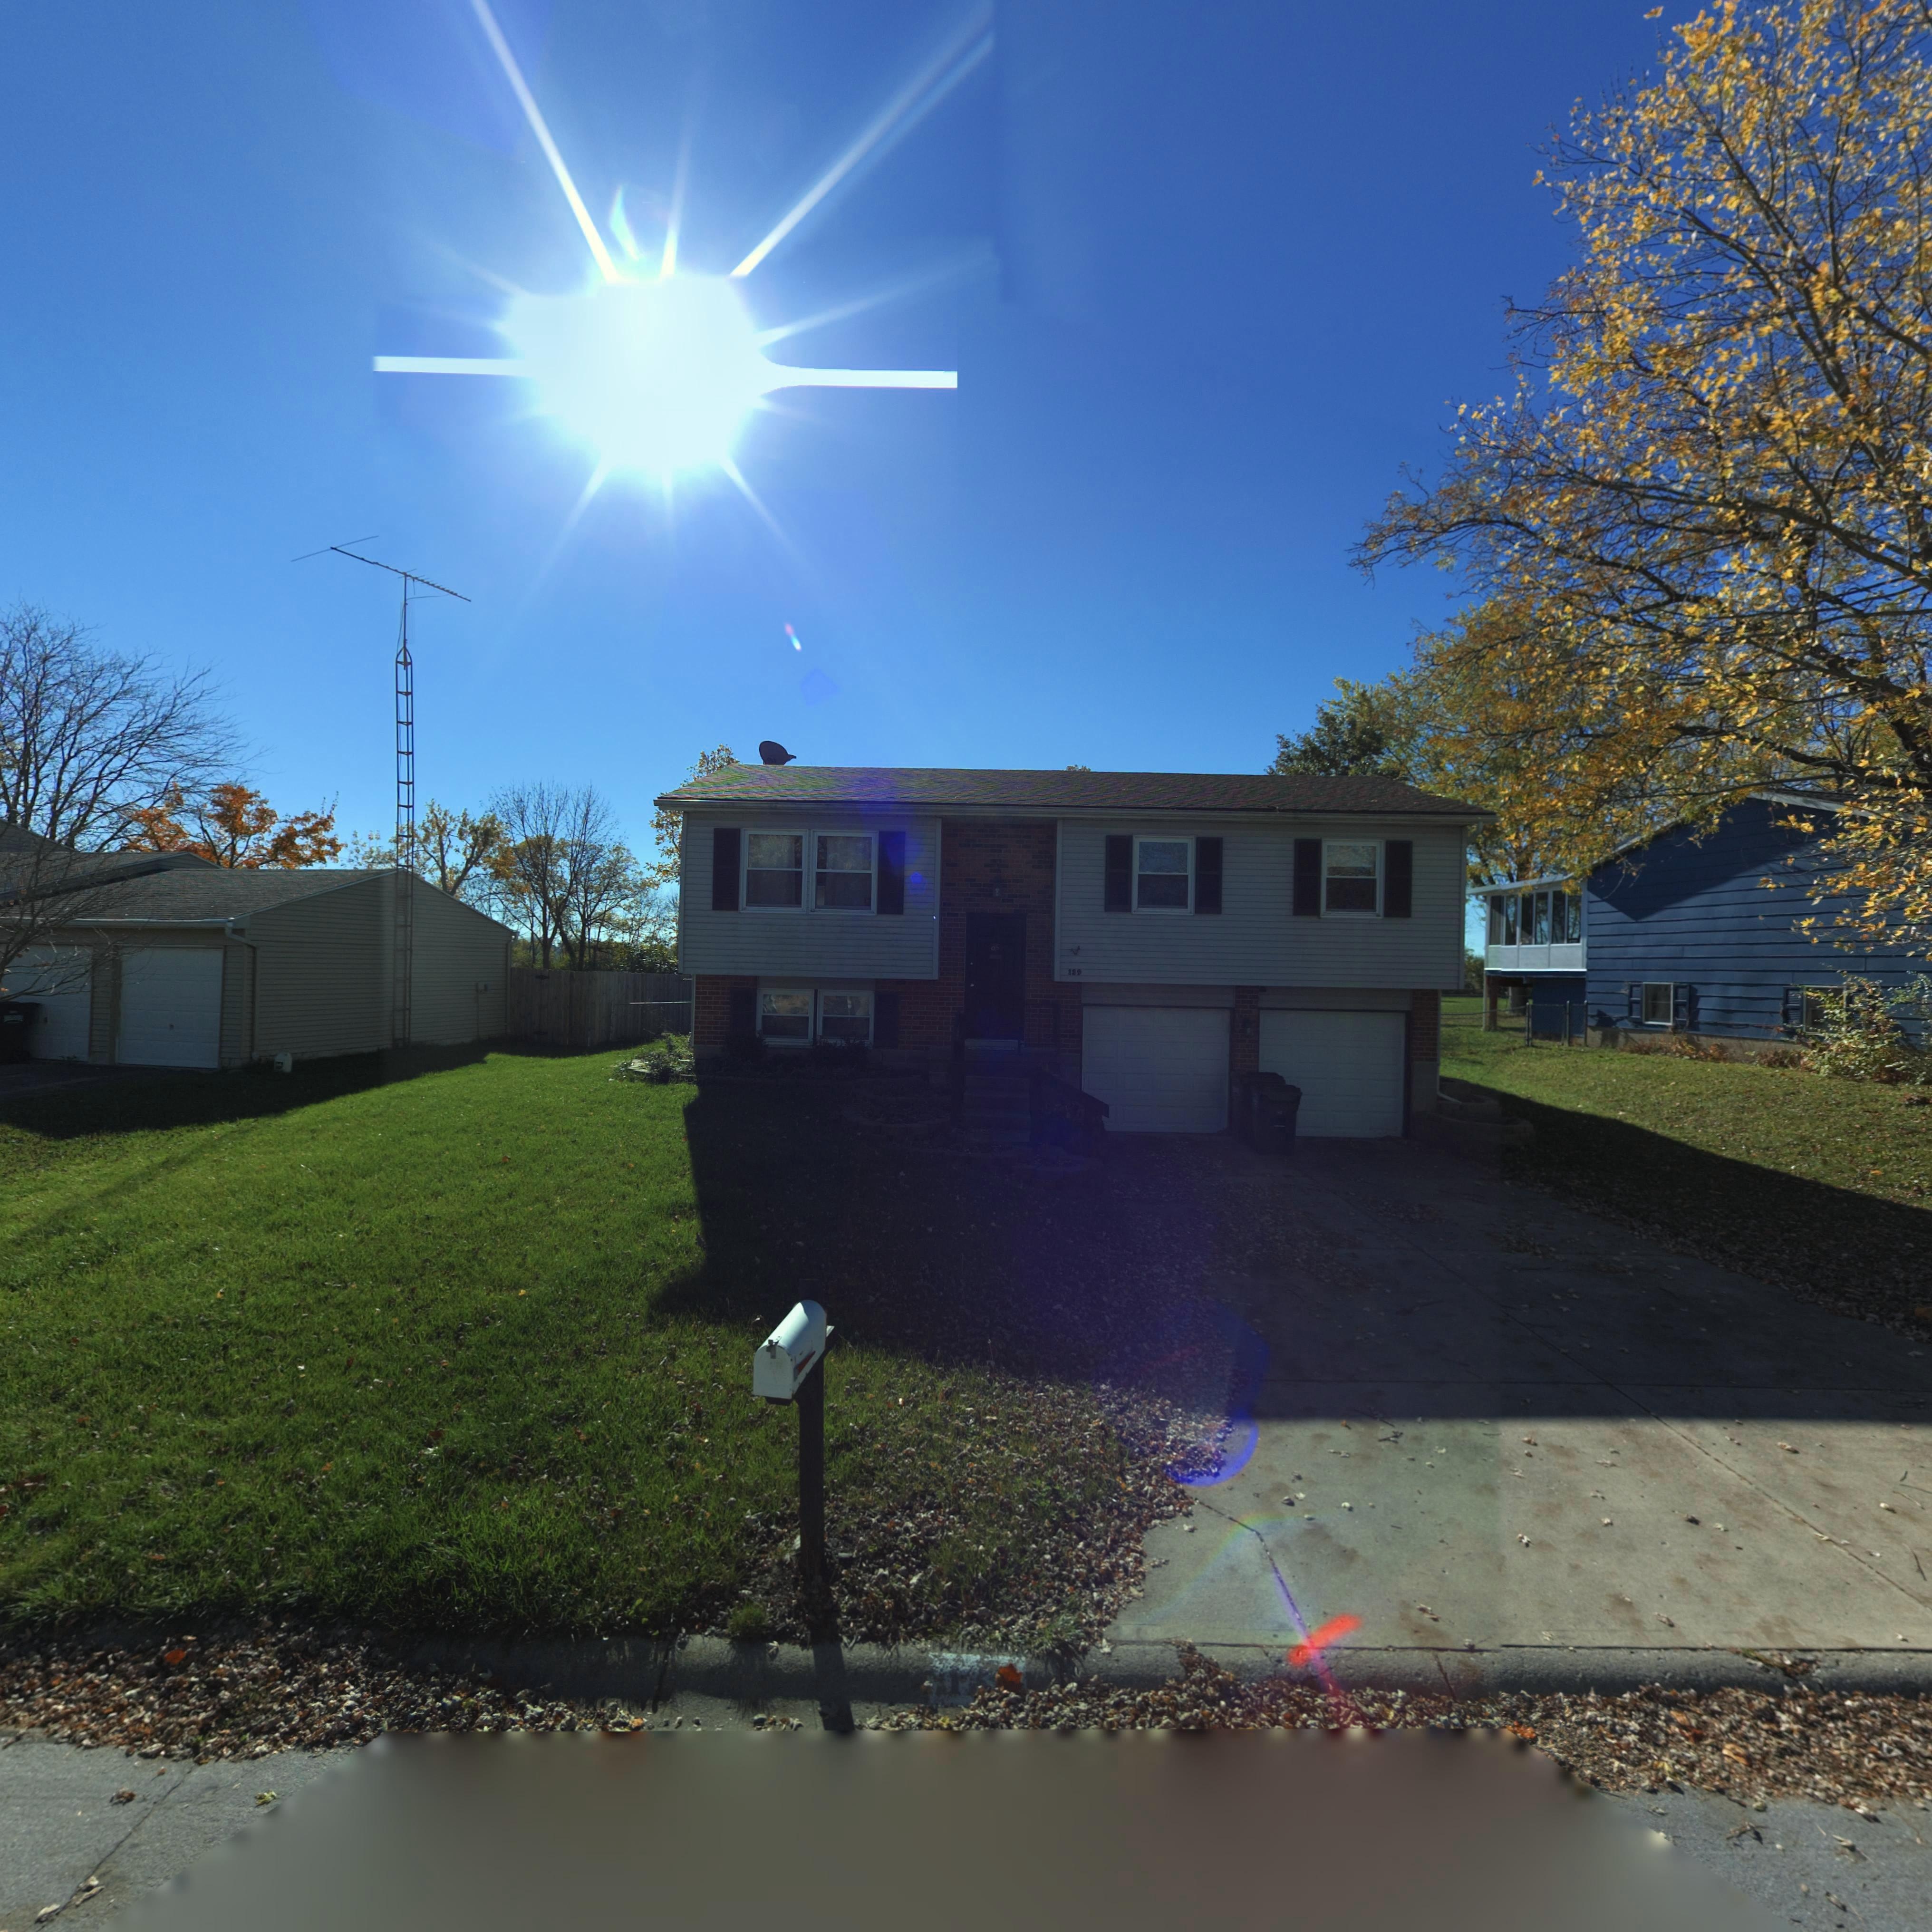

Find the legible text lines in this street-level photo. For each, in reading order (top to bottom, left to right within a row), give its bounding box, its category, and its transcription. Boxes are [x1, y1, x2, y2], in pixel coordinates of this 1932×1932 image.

[1067, 968, 1082, 976] StreetNumber: 1*9